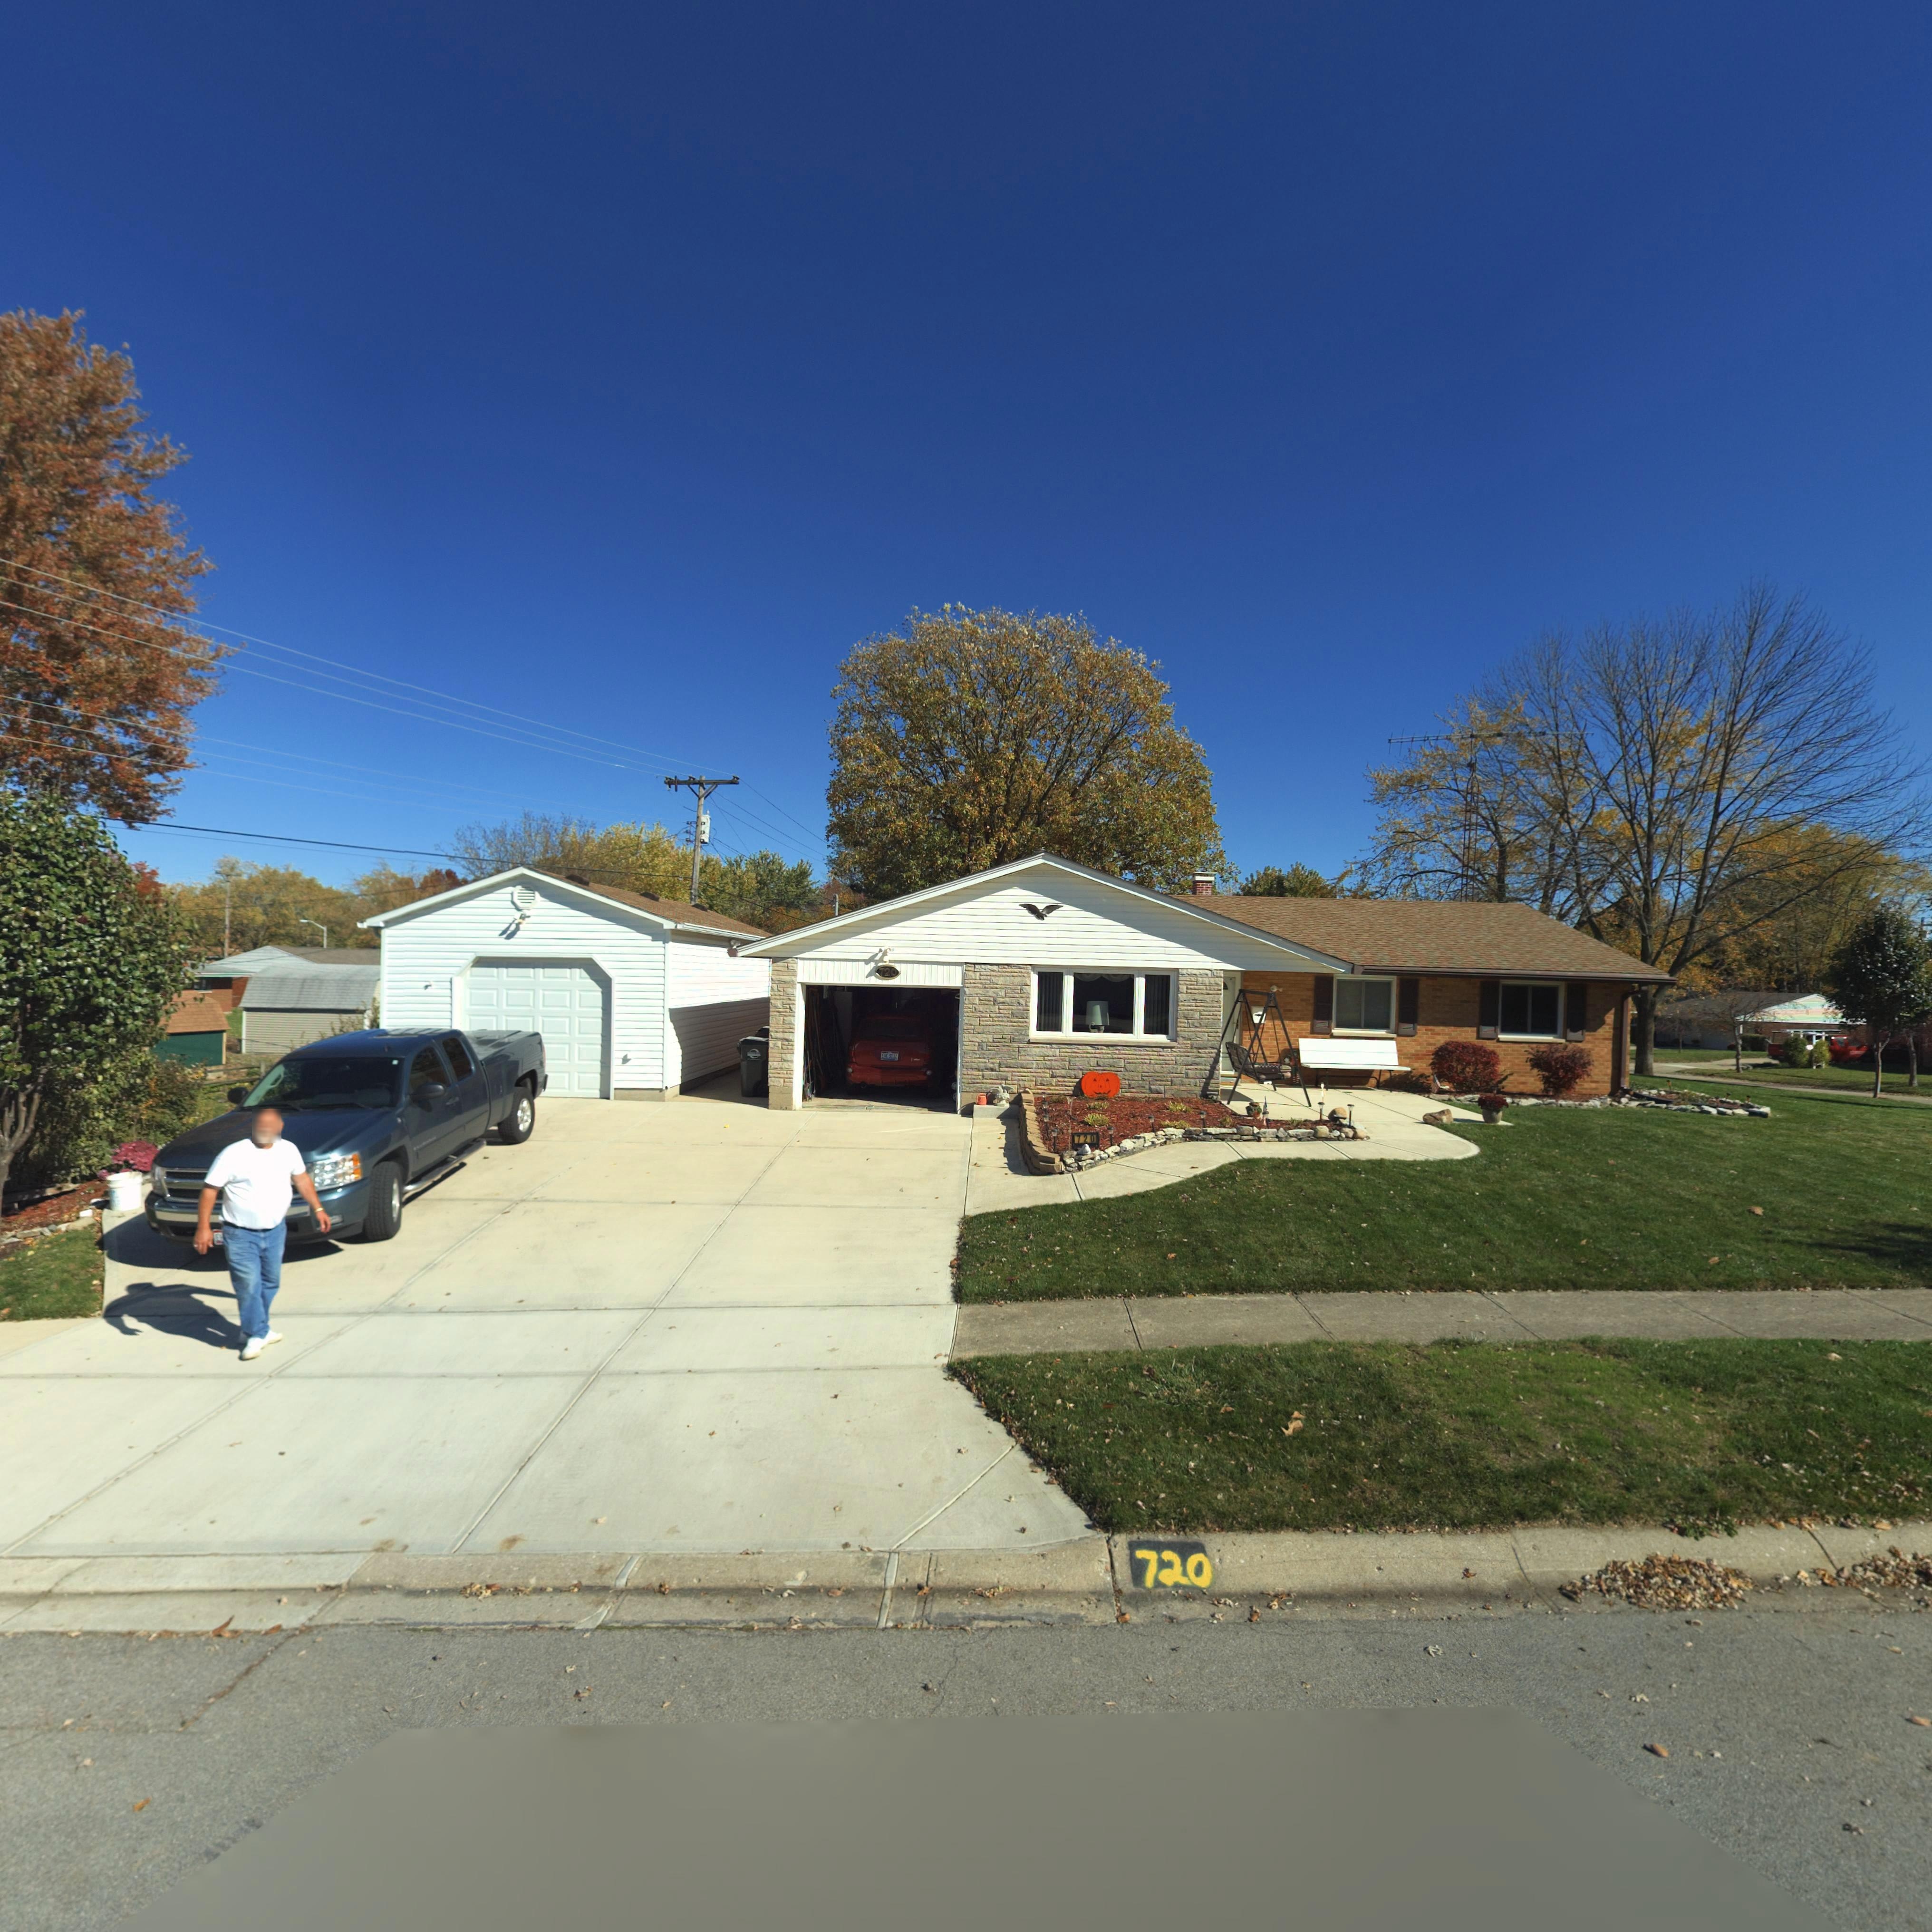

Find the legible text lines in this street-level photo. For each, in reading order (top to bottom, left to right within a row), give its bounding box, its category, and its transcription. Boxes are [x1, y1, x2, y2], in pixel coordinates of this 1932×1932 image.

[879, 967, 898, 976] StreetNumber: 720
[1134, 1549, 1214, 1589] StreetNumber: 720